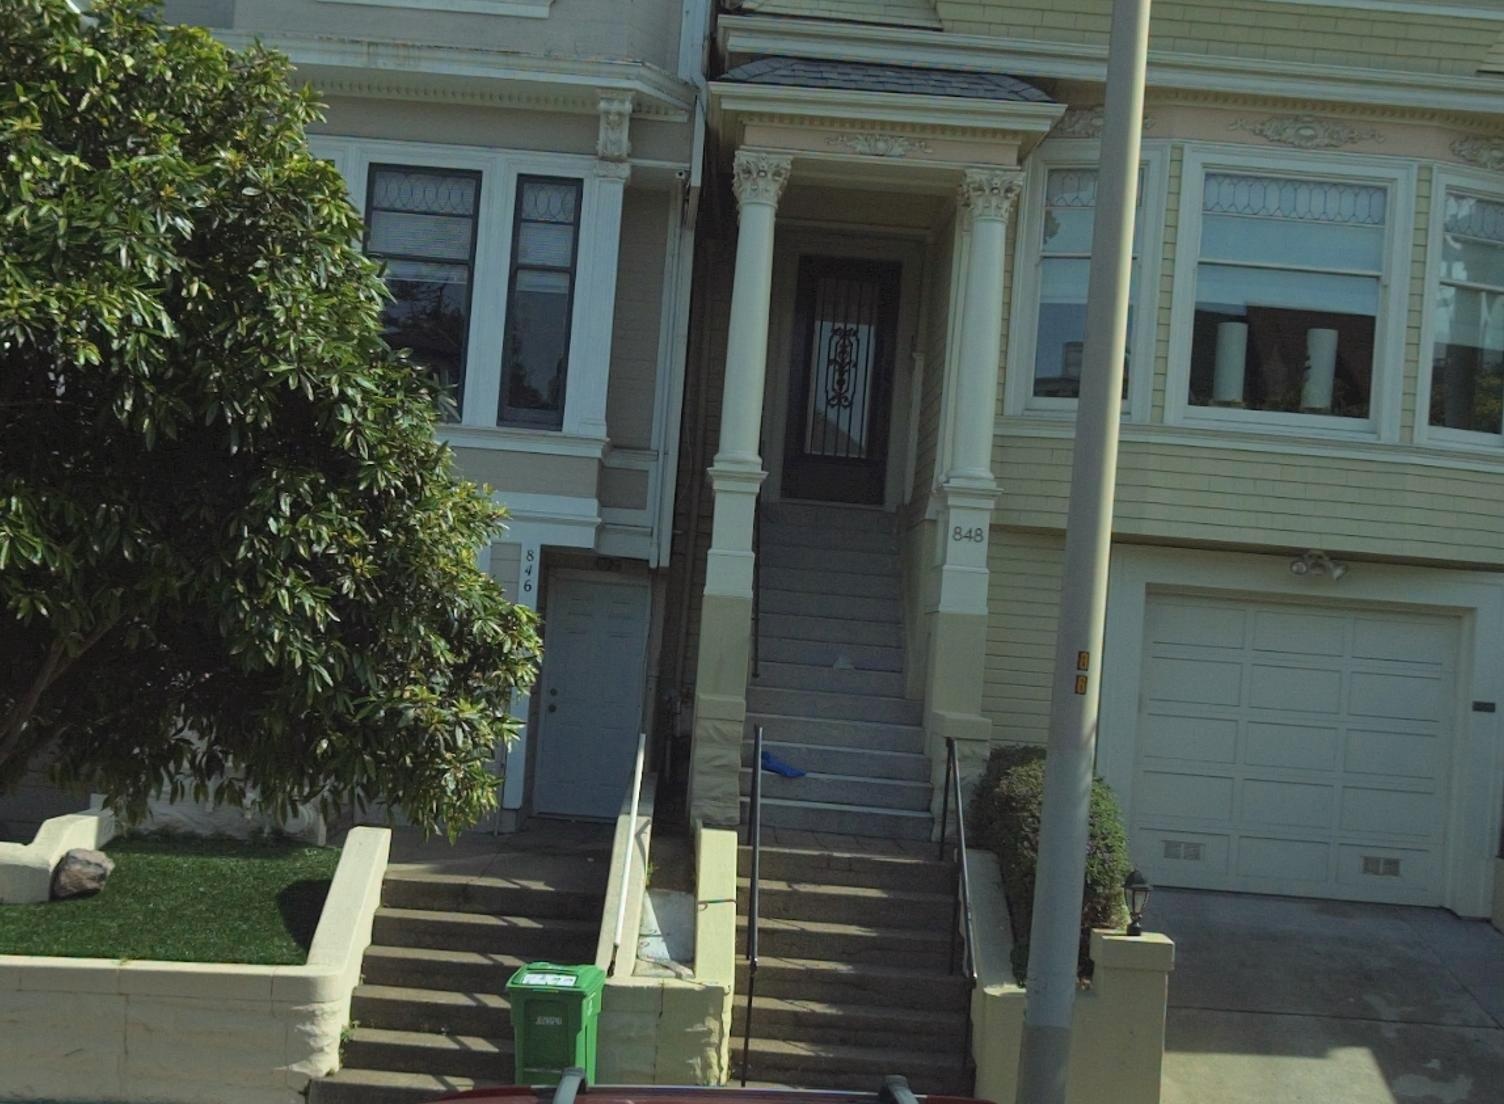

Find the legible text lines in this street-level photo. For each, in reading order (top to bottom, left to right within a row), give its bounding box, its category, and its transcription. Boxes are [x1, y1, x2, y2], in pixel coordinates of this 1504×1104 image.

[950, 524, 986, 545] StreetNumber: 848
[521, 547, 537, 595] StreetNumber: 846
[1074, 649, 1090, 696] None: 86